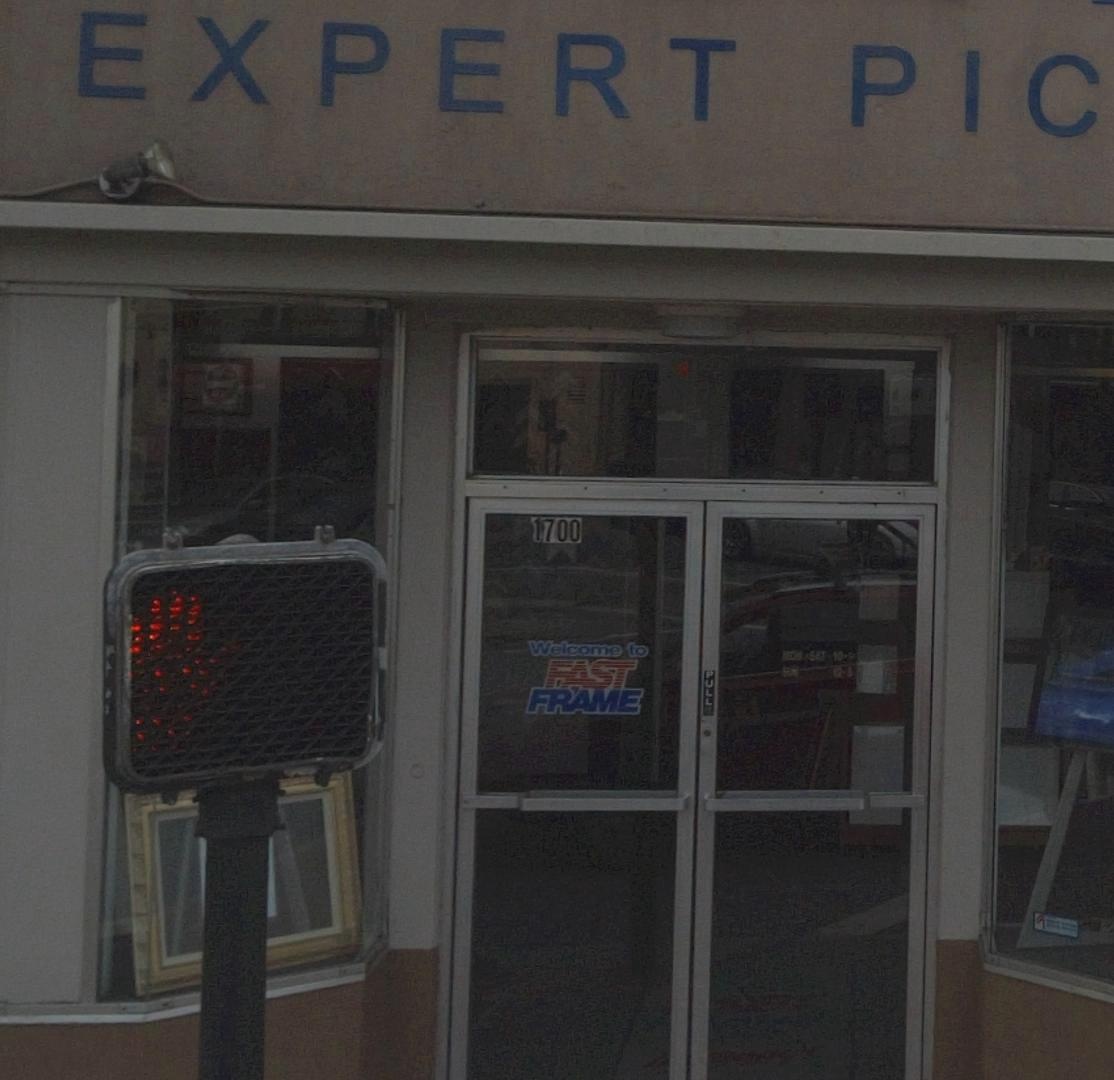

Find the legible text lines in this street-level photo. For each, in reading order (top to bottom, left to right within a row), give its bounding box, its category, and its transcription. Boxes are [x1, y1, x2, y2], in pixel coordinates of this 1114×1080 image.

[74, 7, 1103, 144] BusinessName: EXPERT PIC
[530, 515, 581, 544] StreetNumber: 1700
[527, 639, 648, 658] None: Welcome to
[780, 649, 843, 661] None: MON-SAT 10
[524, 686, 646, 715] None: FRAME
[540, 658, 641, 690] None: FAST
[703, 668, 714, 706] None: PULL